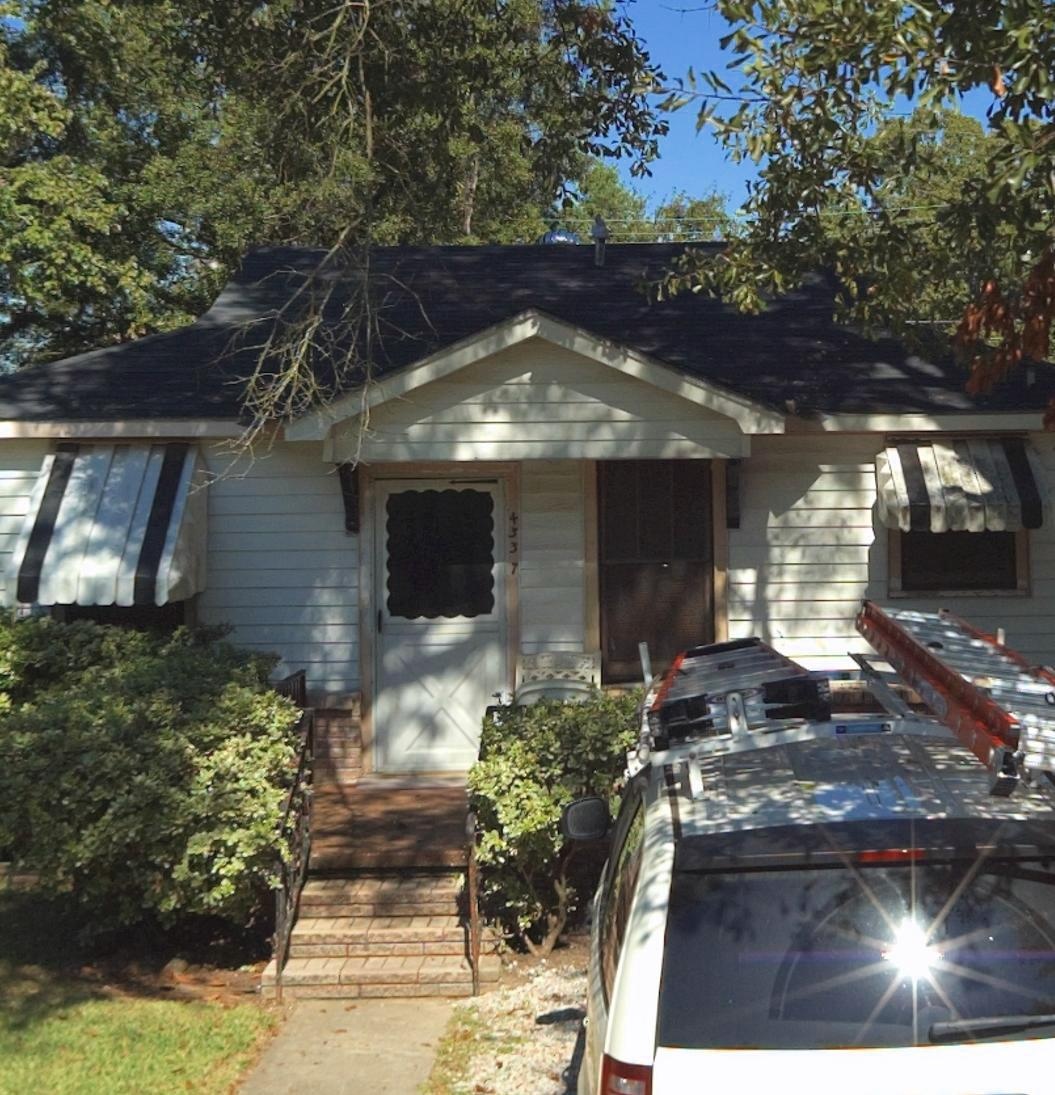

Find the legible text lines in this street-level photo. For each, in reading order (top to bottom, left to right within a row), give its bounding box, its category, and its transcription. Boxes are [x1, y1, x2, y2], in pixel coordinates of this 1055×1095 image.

[507, 511, 519, 575] StreetNumber: 4337